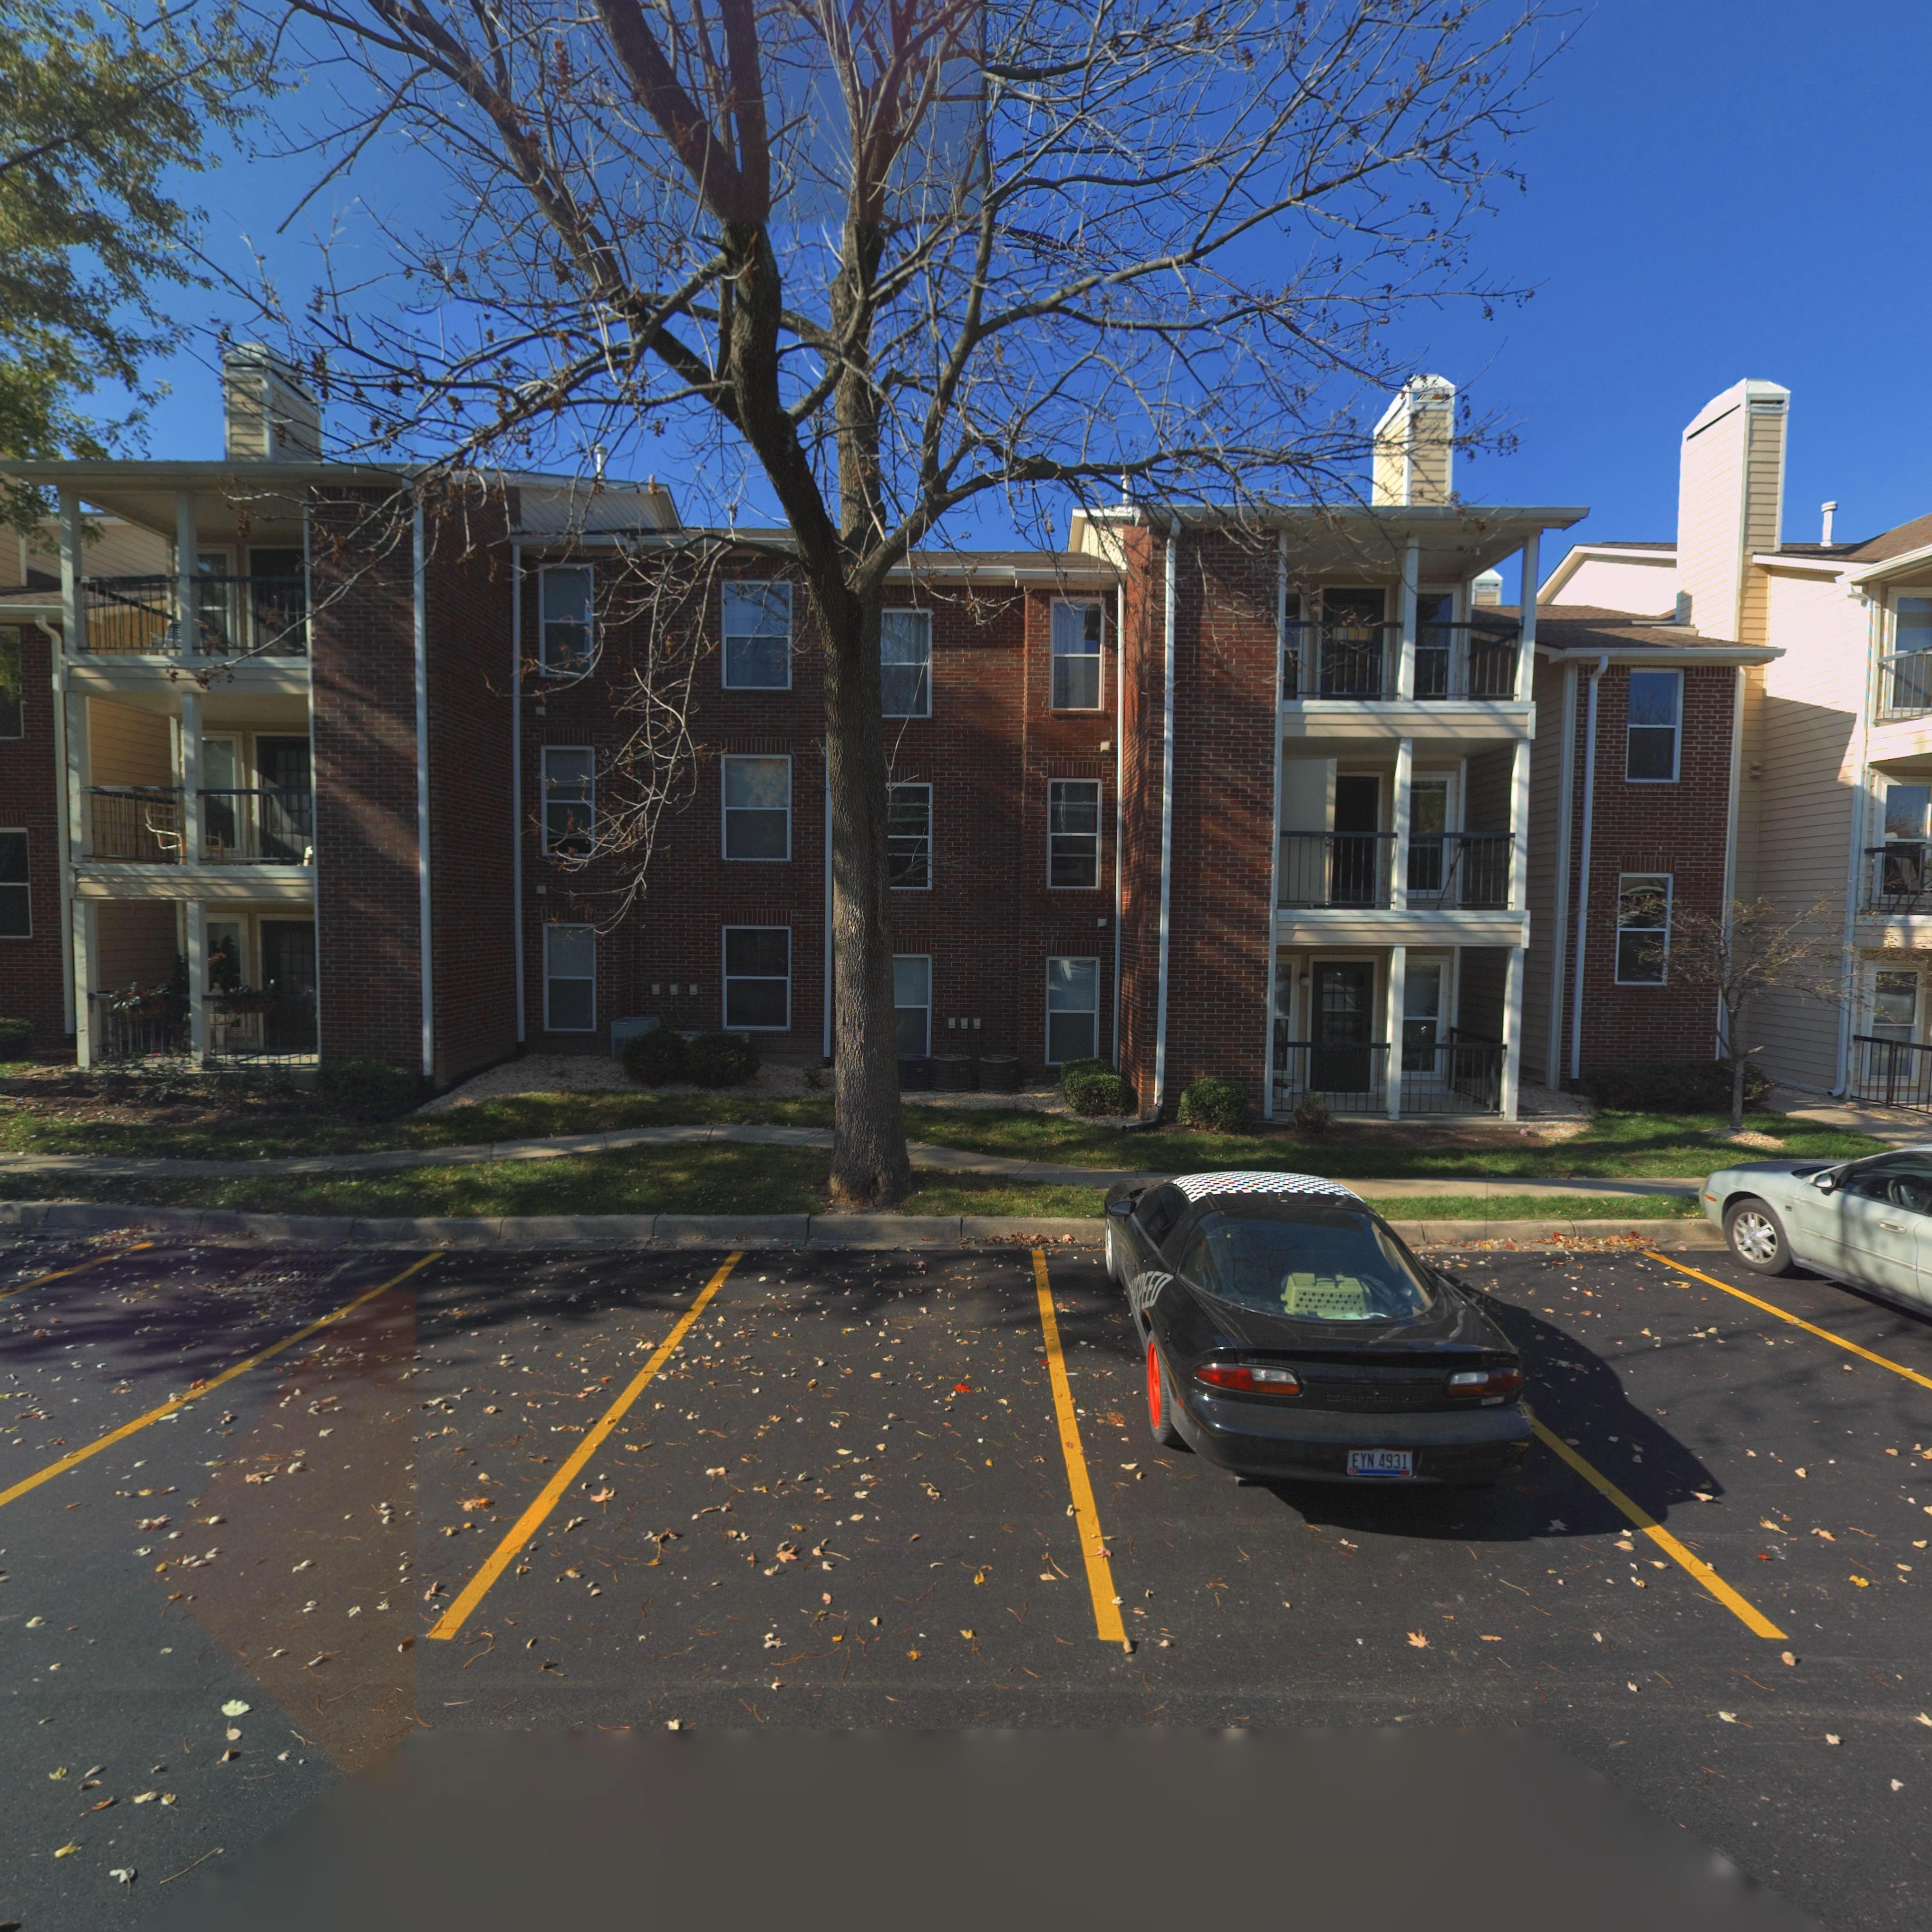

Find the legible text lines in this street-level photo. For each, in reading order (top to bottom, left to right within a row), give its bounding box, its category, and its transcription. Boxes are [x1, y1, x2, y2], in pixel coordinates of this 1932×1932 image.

[1139, 1269, 1176, 1313] None: EED
[1352, 1451, 1408, 1470] None: EYN 4931